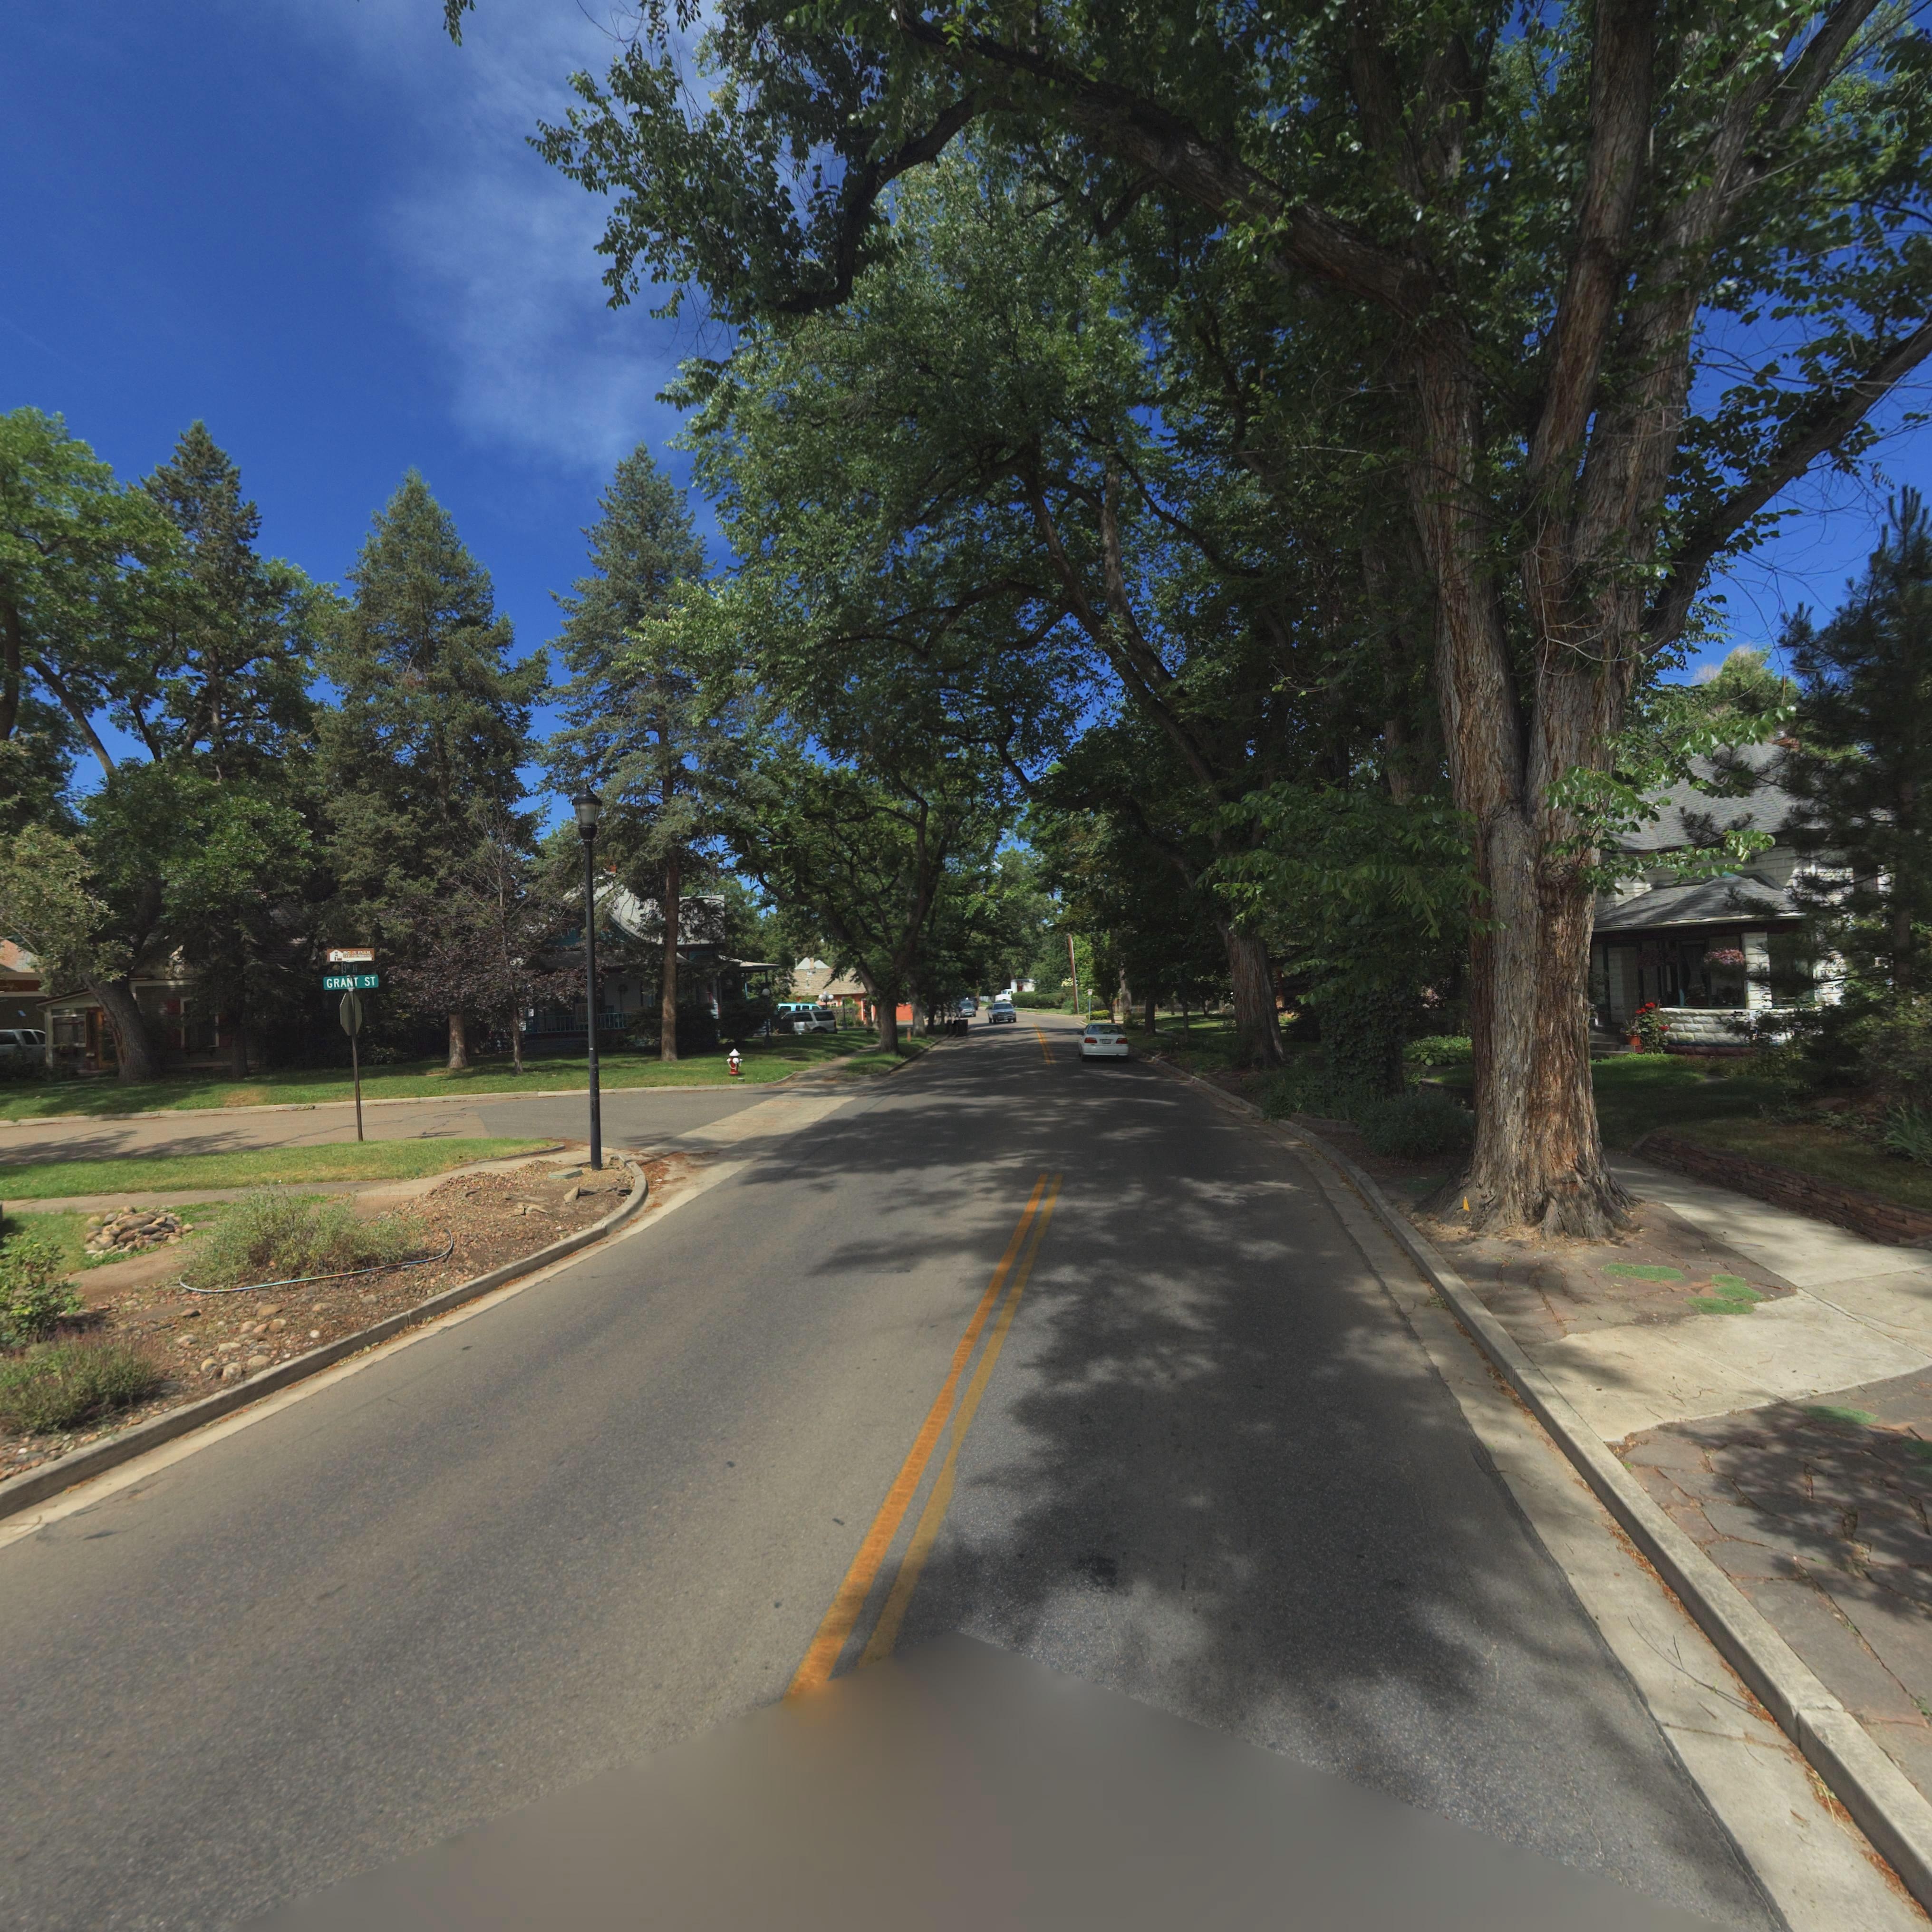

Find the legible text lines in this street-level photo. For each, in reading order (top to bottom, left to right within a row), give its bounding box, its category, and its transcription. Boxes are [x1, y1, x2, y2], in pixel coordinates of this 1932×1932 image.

[343, 964, 357, 973] StreetName: 3** **
[326, 976, 375, 988] StreetName: GRANT ST